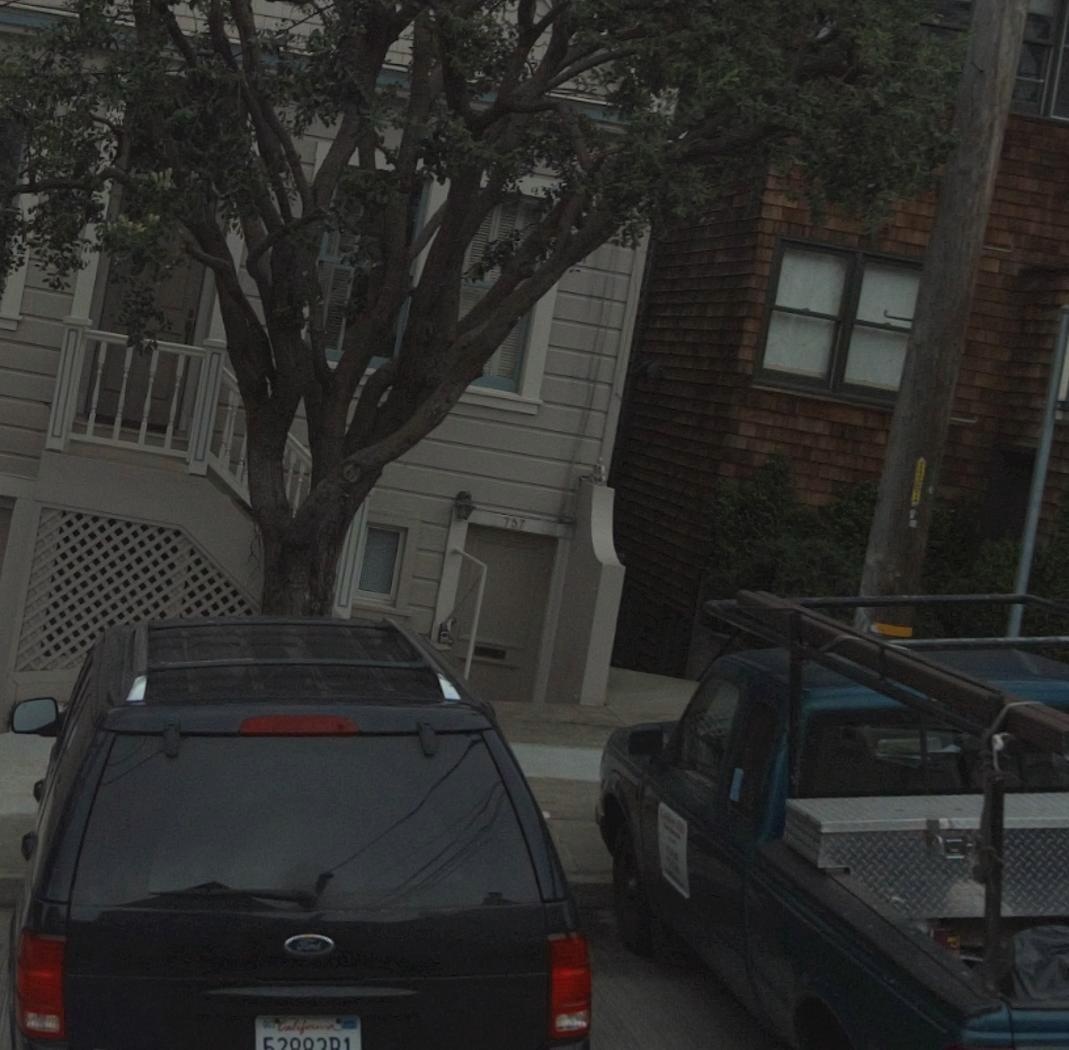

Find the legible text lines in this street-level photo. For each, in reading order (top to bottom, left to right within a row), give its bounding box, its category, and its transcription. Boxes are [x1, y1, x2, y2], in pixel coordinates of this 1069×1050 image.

[503, 515, 527, 531] StreetNumber: 757